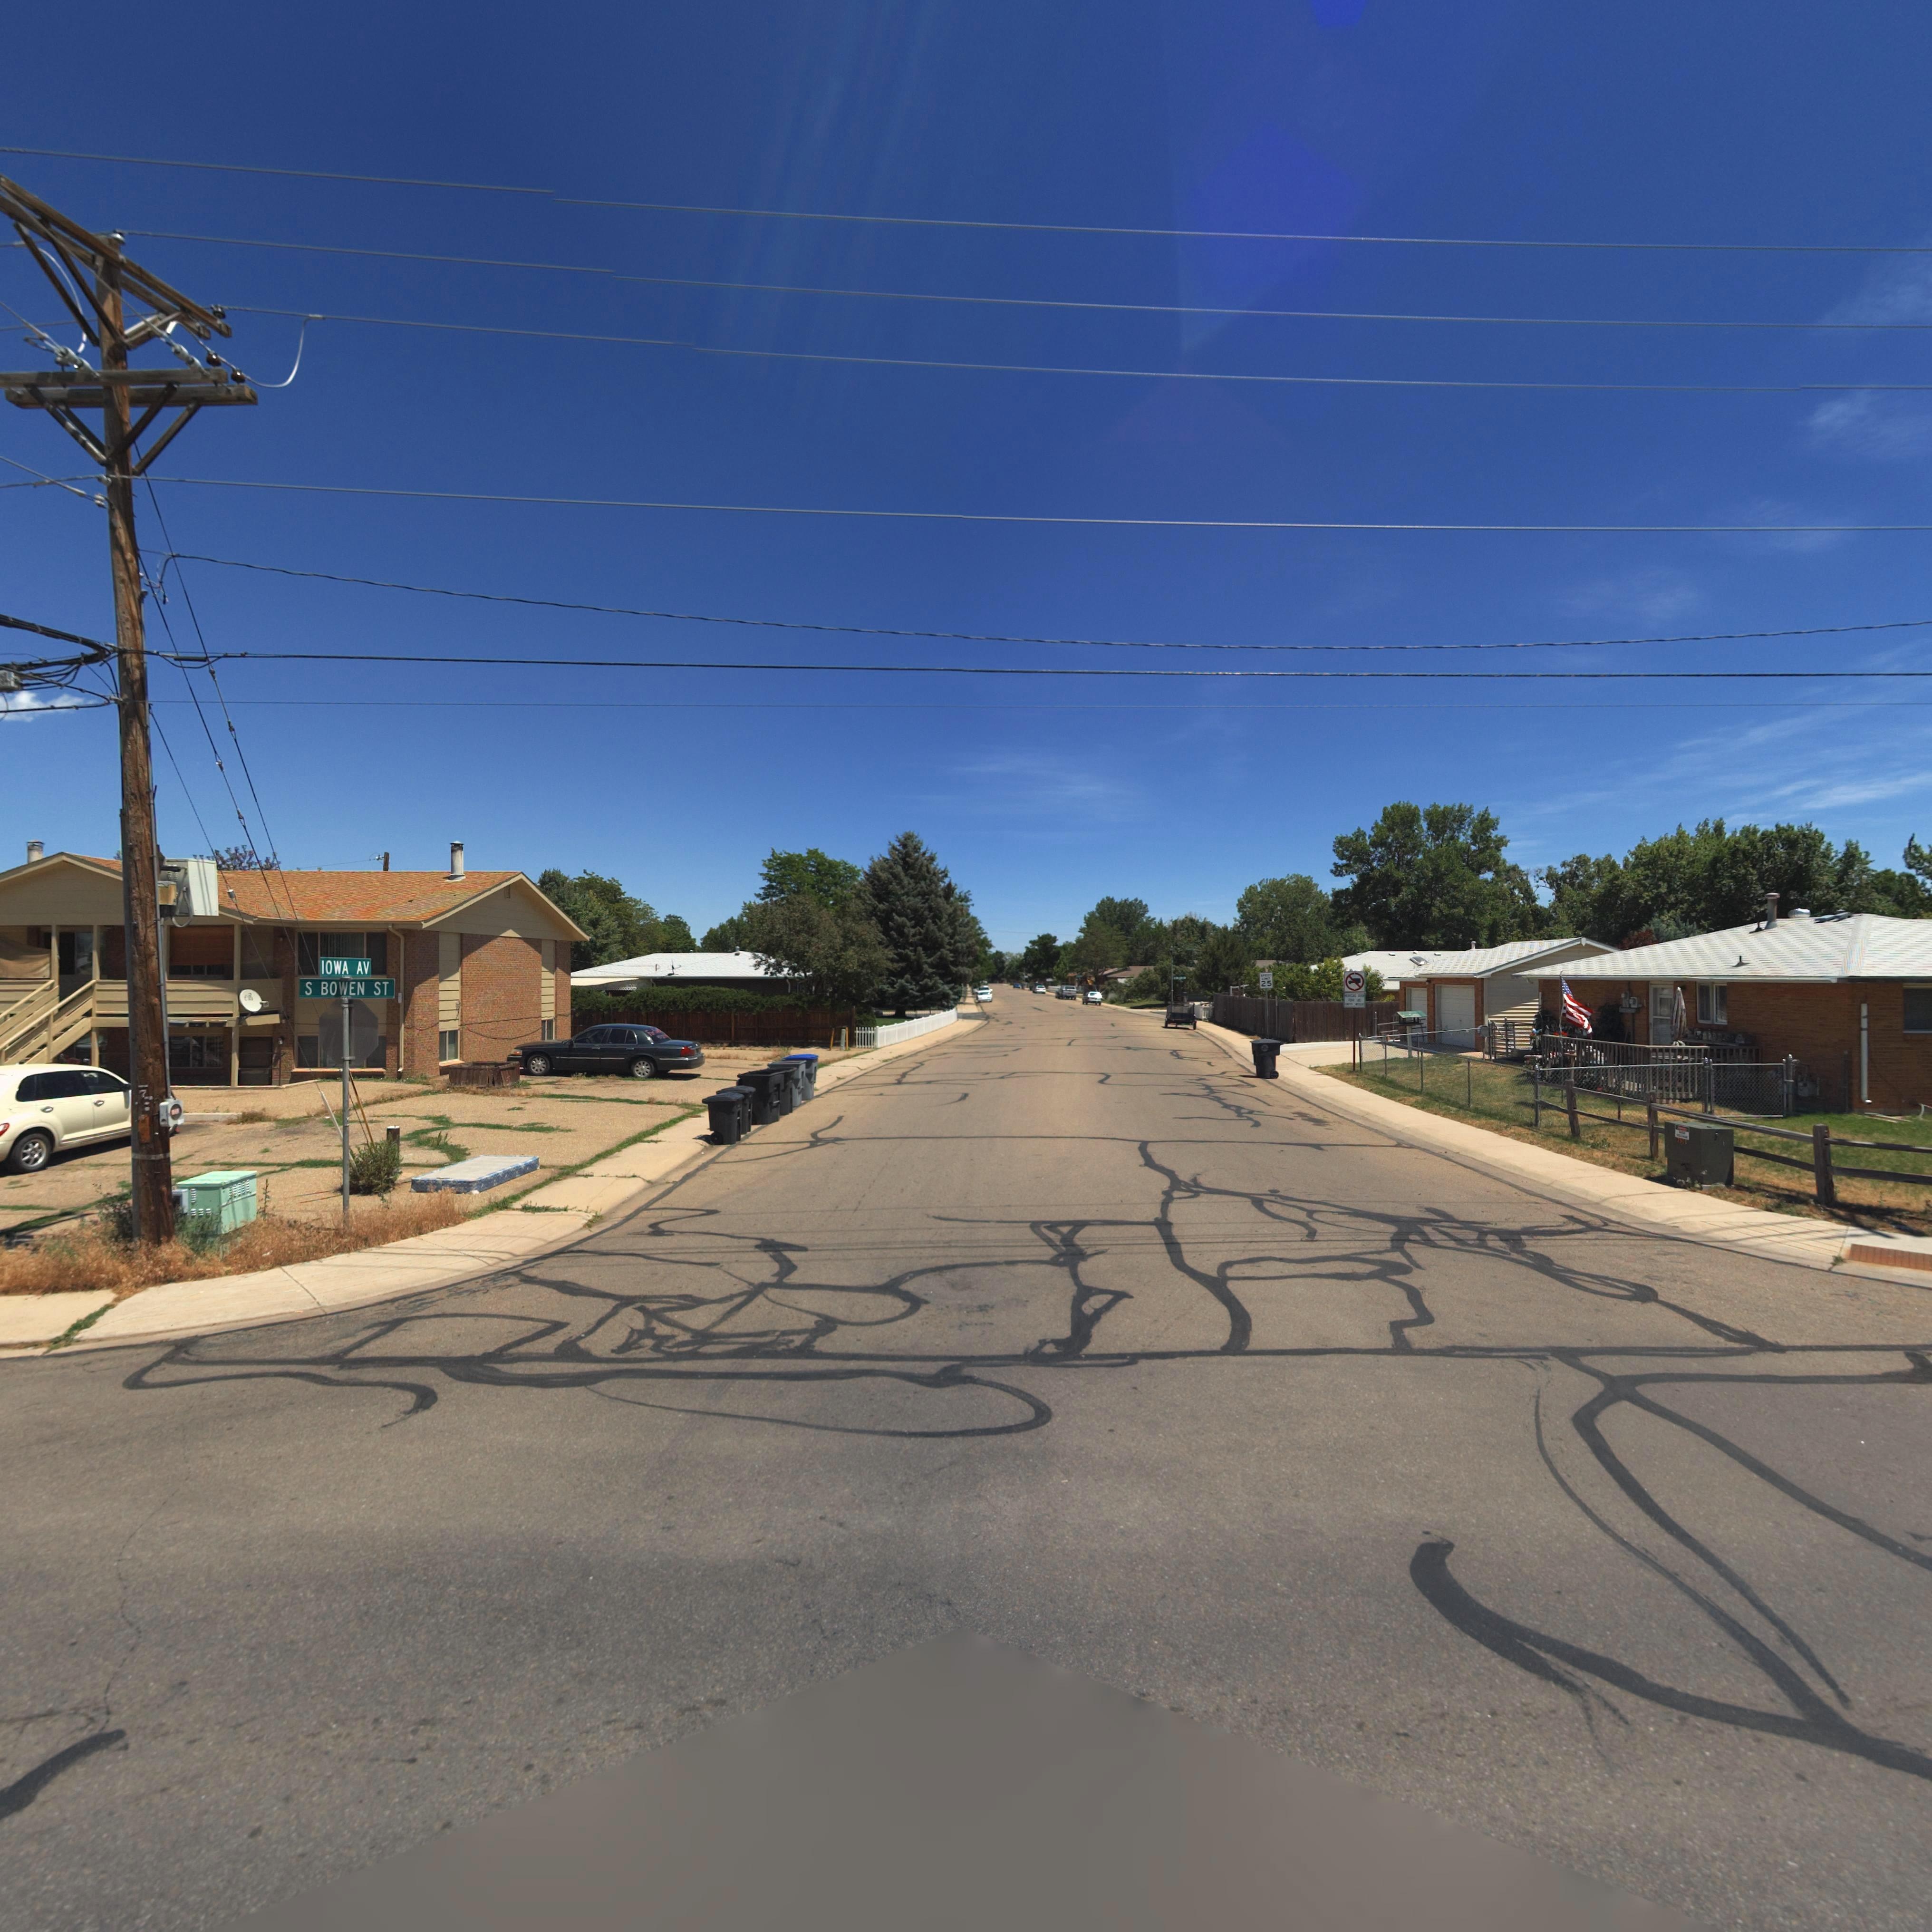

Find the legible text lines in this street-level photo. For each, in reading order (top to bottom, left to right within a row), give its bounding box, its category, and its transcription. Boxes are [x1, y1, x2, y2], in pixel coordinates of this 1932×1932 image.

[321, 960, 369, 975] StreetName: IOWA AV
[304, 981, 389, 995] StreetName: S BOWEN ST